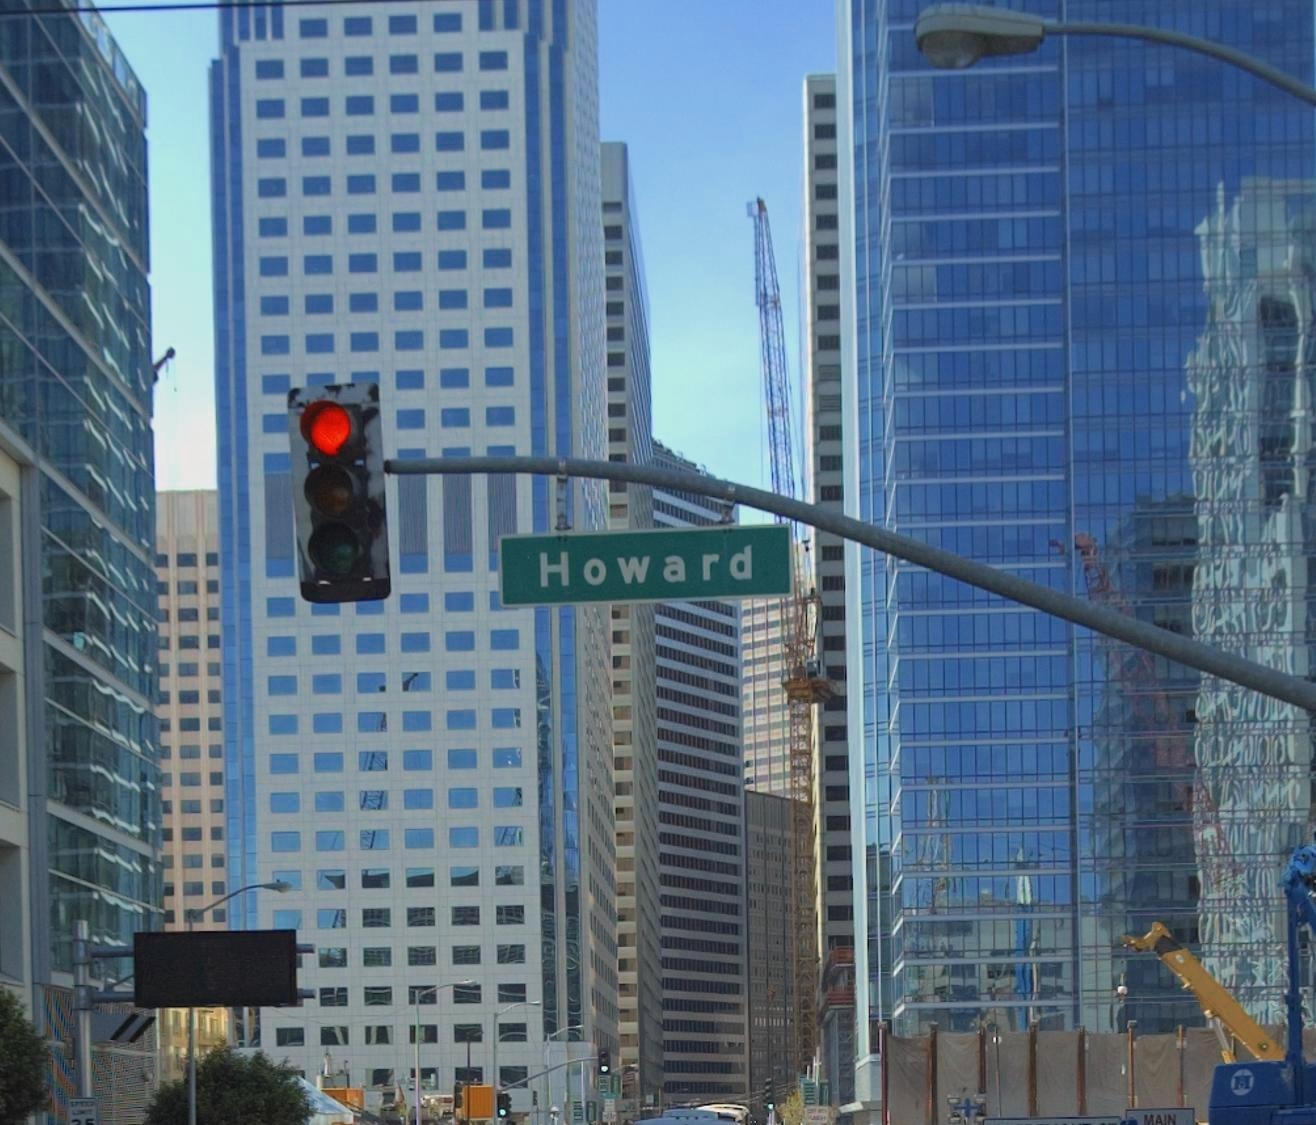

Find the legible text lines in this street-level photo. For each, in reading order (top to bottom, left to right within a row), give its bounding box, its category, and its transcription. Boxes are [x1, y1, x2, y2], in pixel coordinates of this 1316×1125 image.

[536, 540, 757, 592] StreetName: Howard